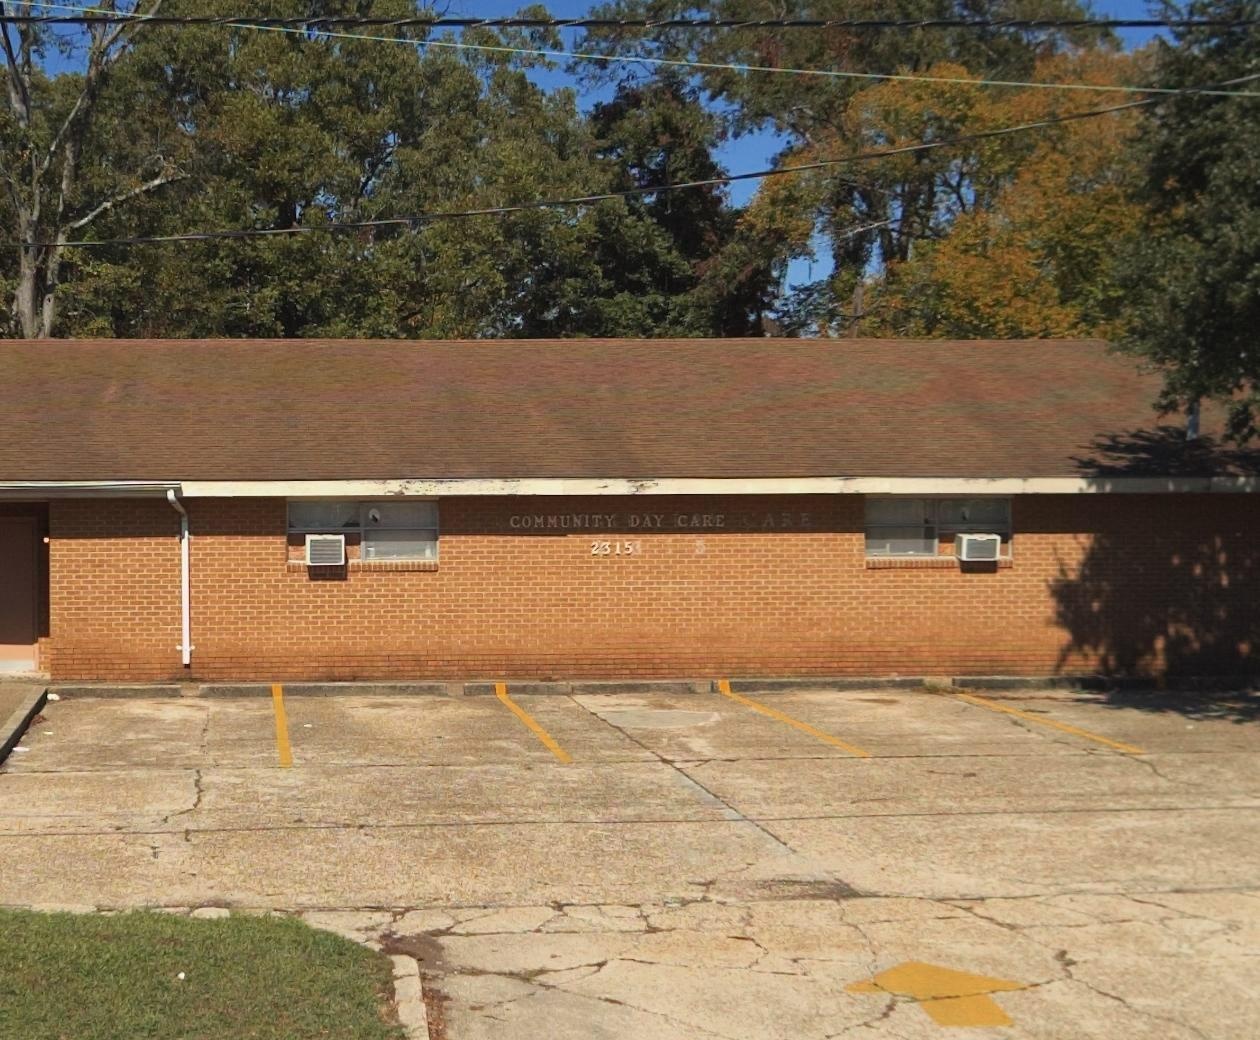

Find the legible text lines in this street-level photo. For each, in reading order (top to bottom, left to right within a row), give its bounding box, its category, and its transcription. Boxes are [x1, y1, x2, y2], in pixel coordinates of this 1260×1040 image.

[508, 511, 810, 529] BusinessName: COMMUNITY DAY CARE CARE
[589, 540, 635, 556] StreetNumber: 2315